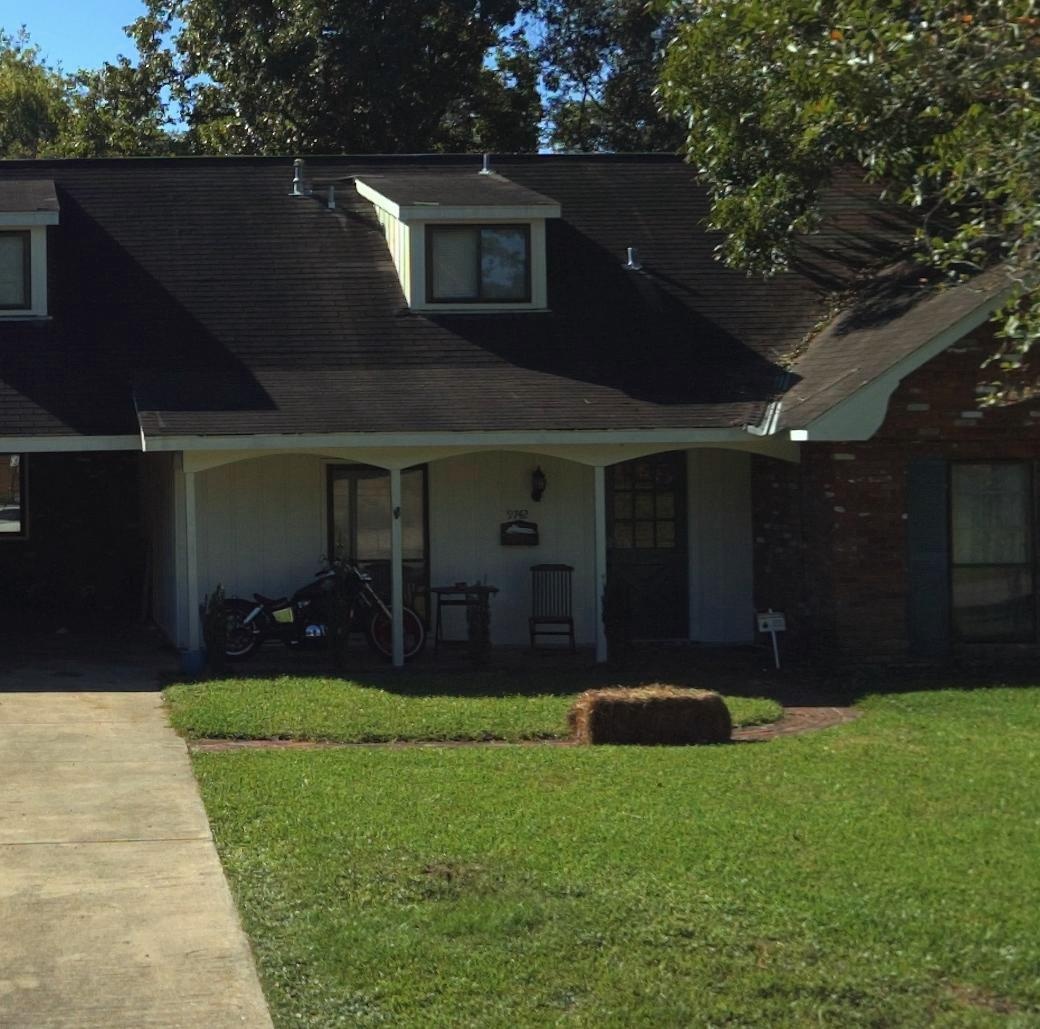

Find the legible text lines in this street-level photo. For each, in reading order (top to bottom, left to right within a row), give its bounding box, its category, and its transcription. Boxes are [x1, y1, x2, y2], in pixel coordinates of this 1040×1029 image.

[505, 507, 530, 521] StreetNumber: 9*42